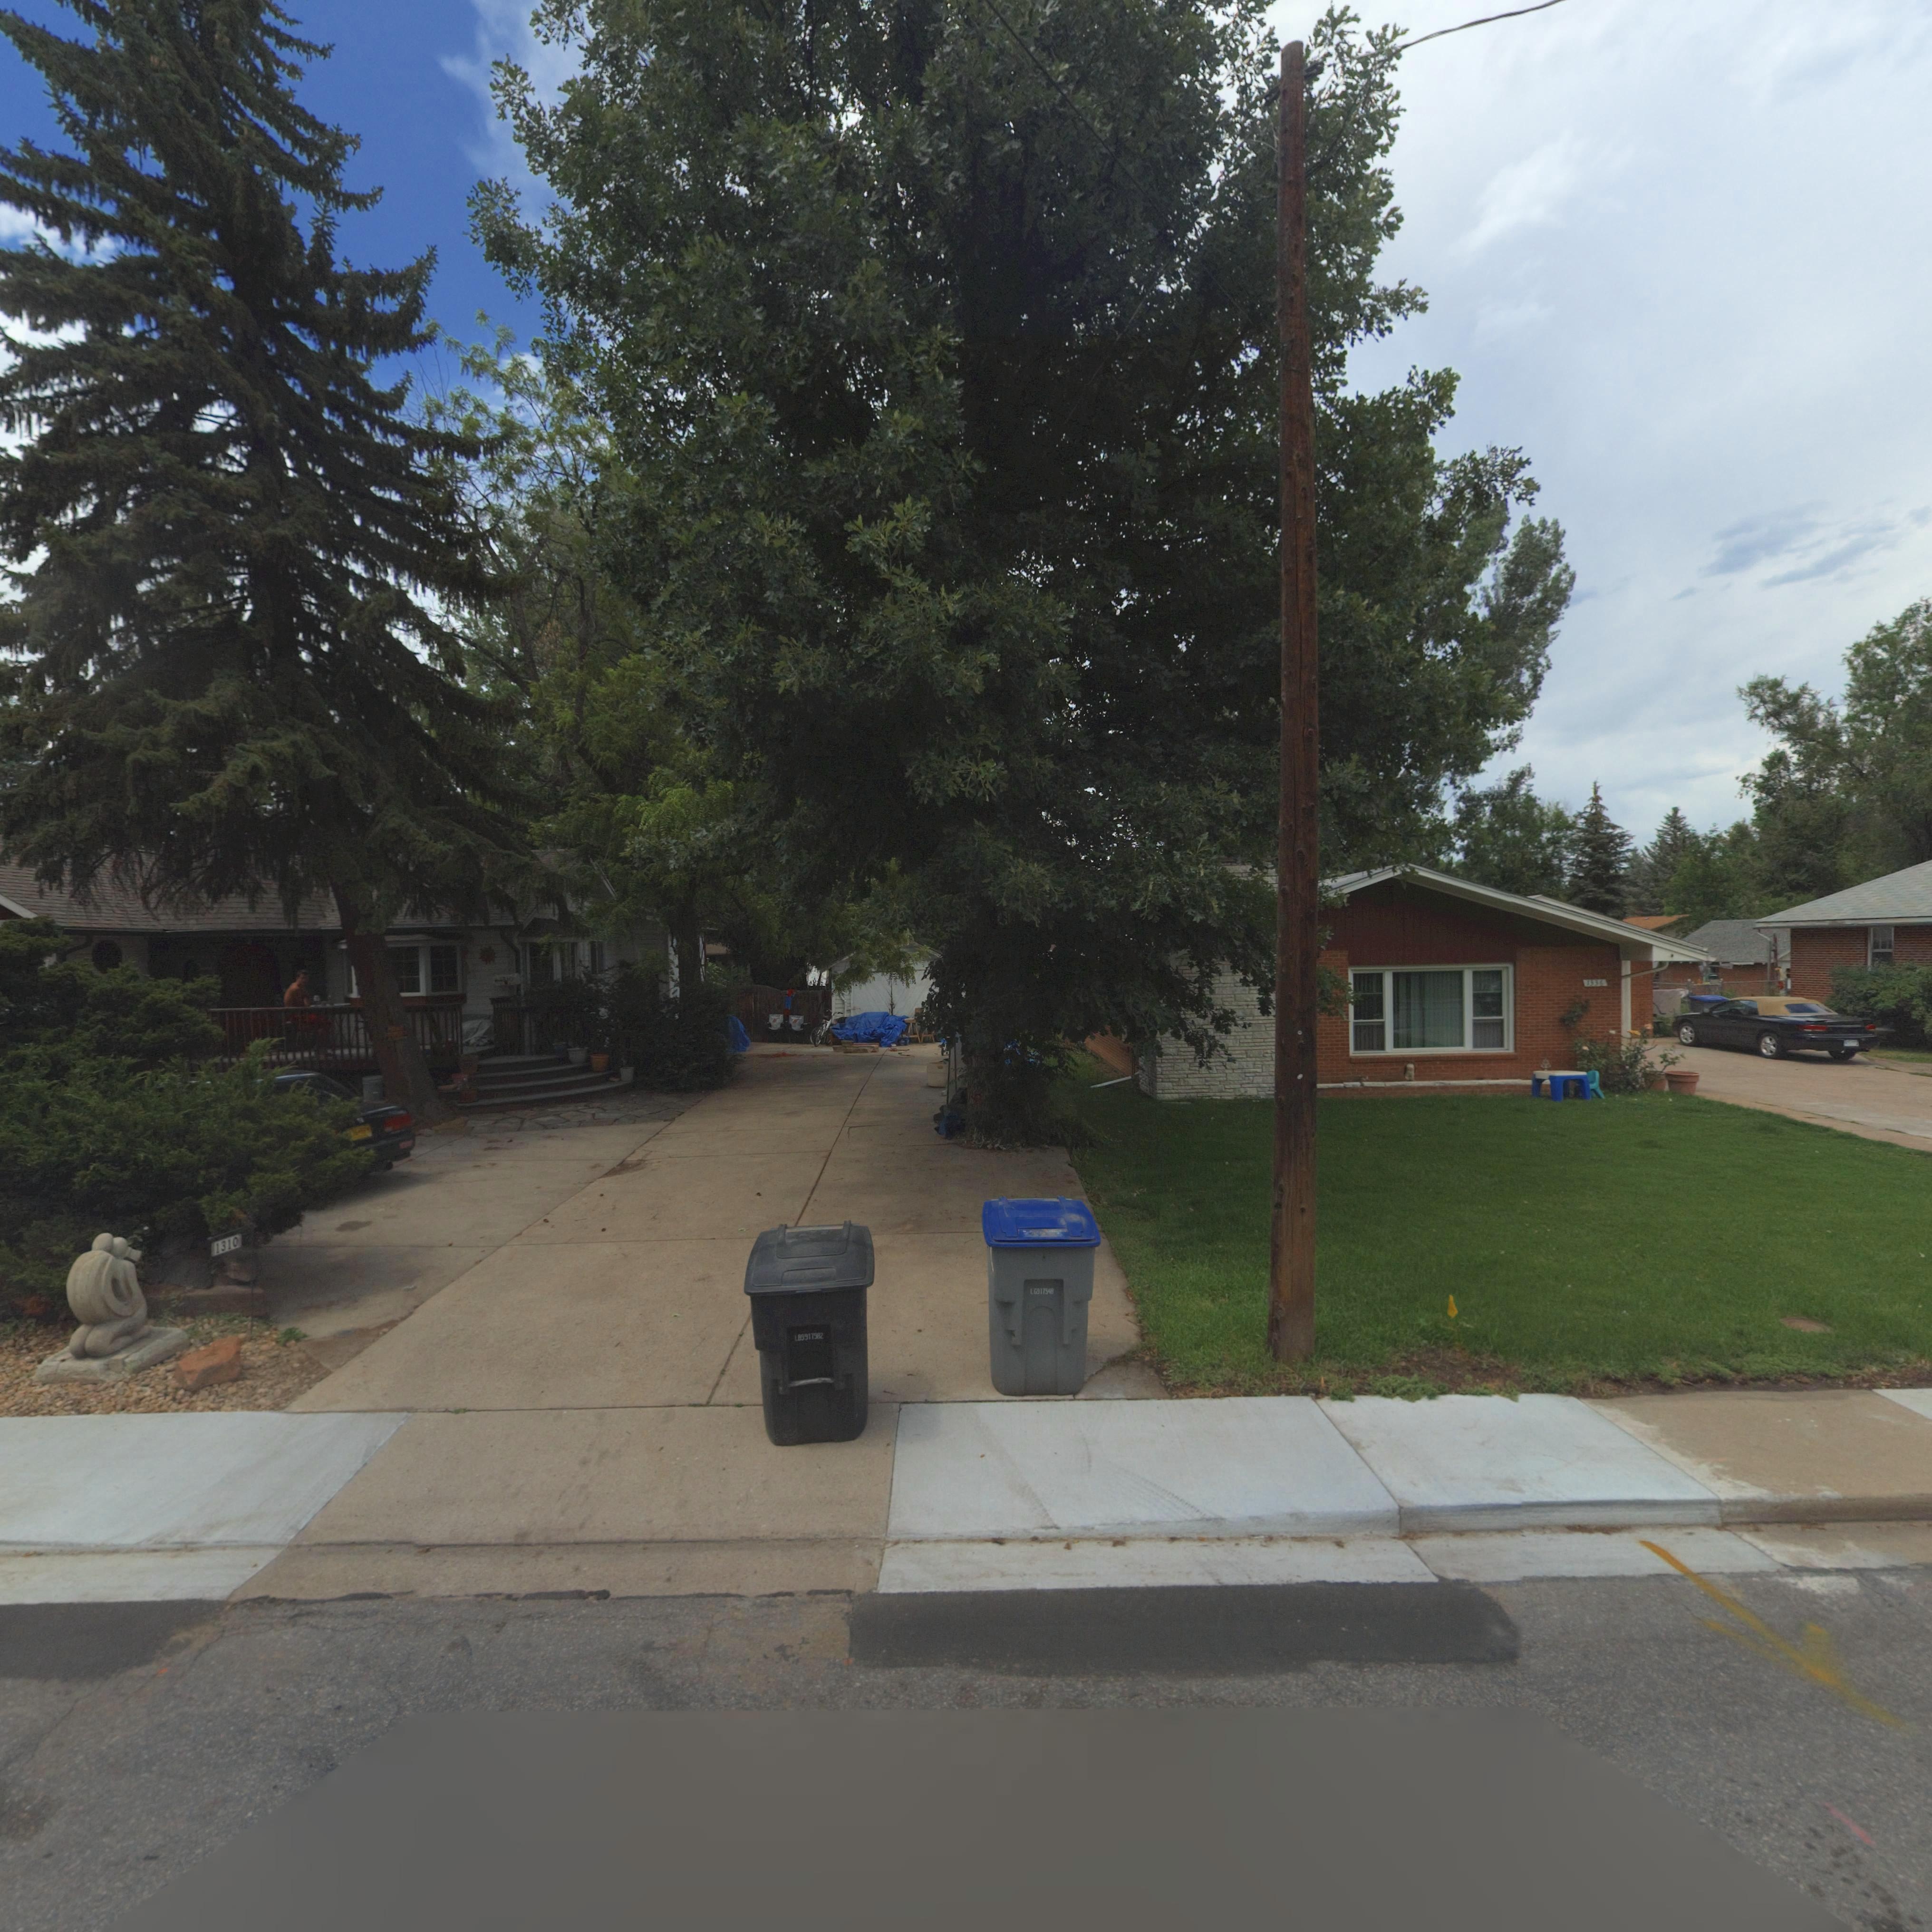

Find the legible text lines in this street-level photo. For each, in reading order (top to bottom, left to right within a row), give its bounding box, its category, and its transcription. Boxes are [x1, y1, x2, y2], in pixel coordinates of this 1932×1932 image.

[499, 976, 514, 983] StreetNumber: *310
[1586, 979, 1604, 986] StreetNumber: 1336
[215, 1235, 240, 1254] StreetNumber: 1310